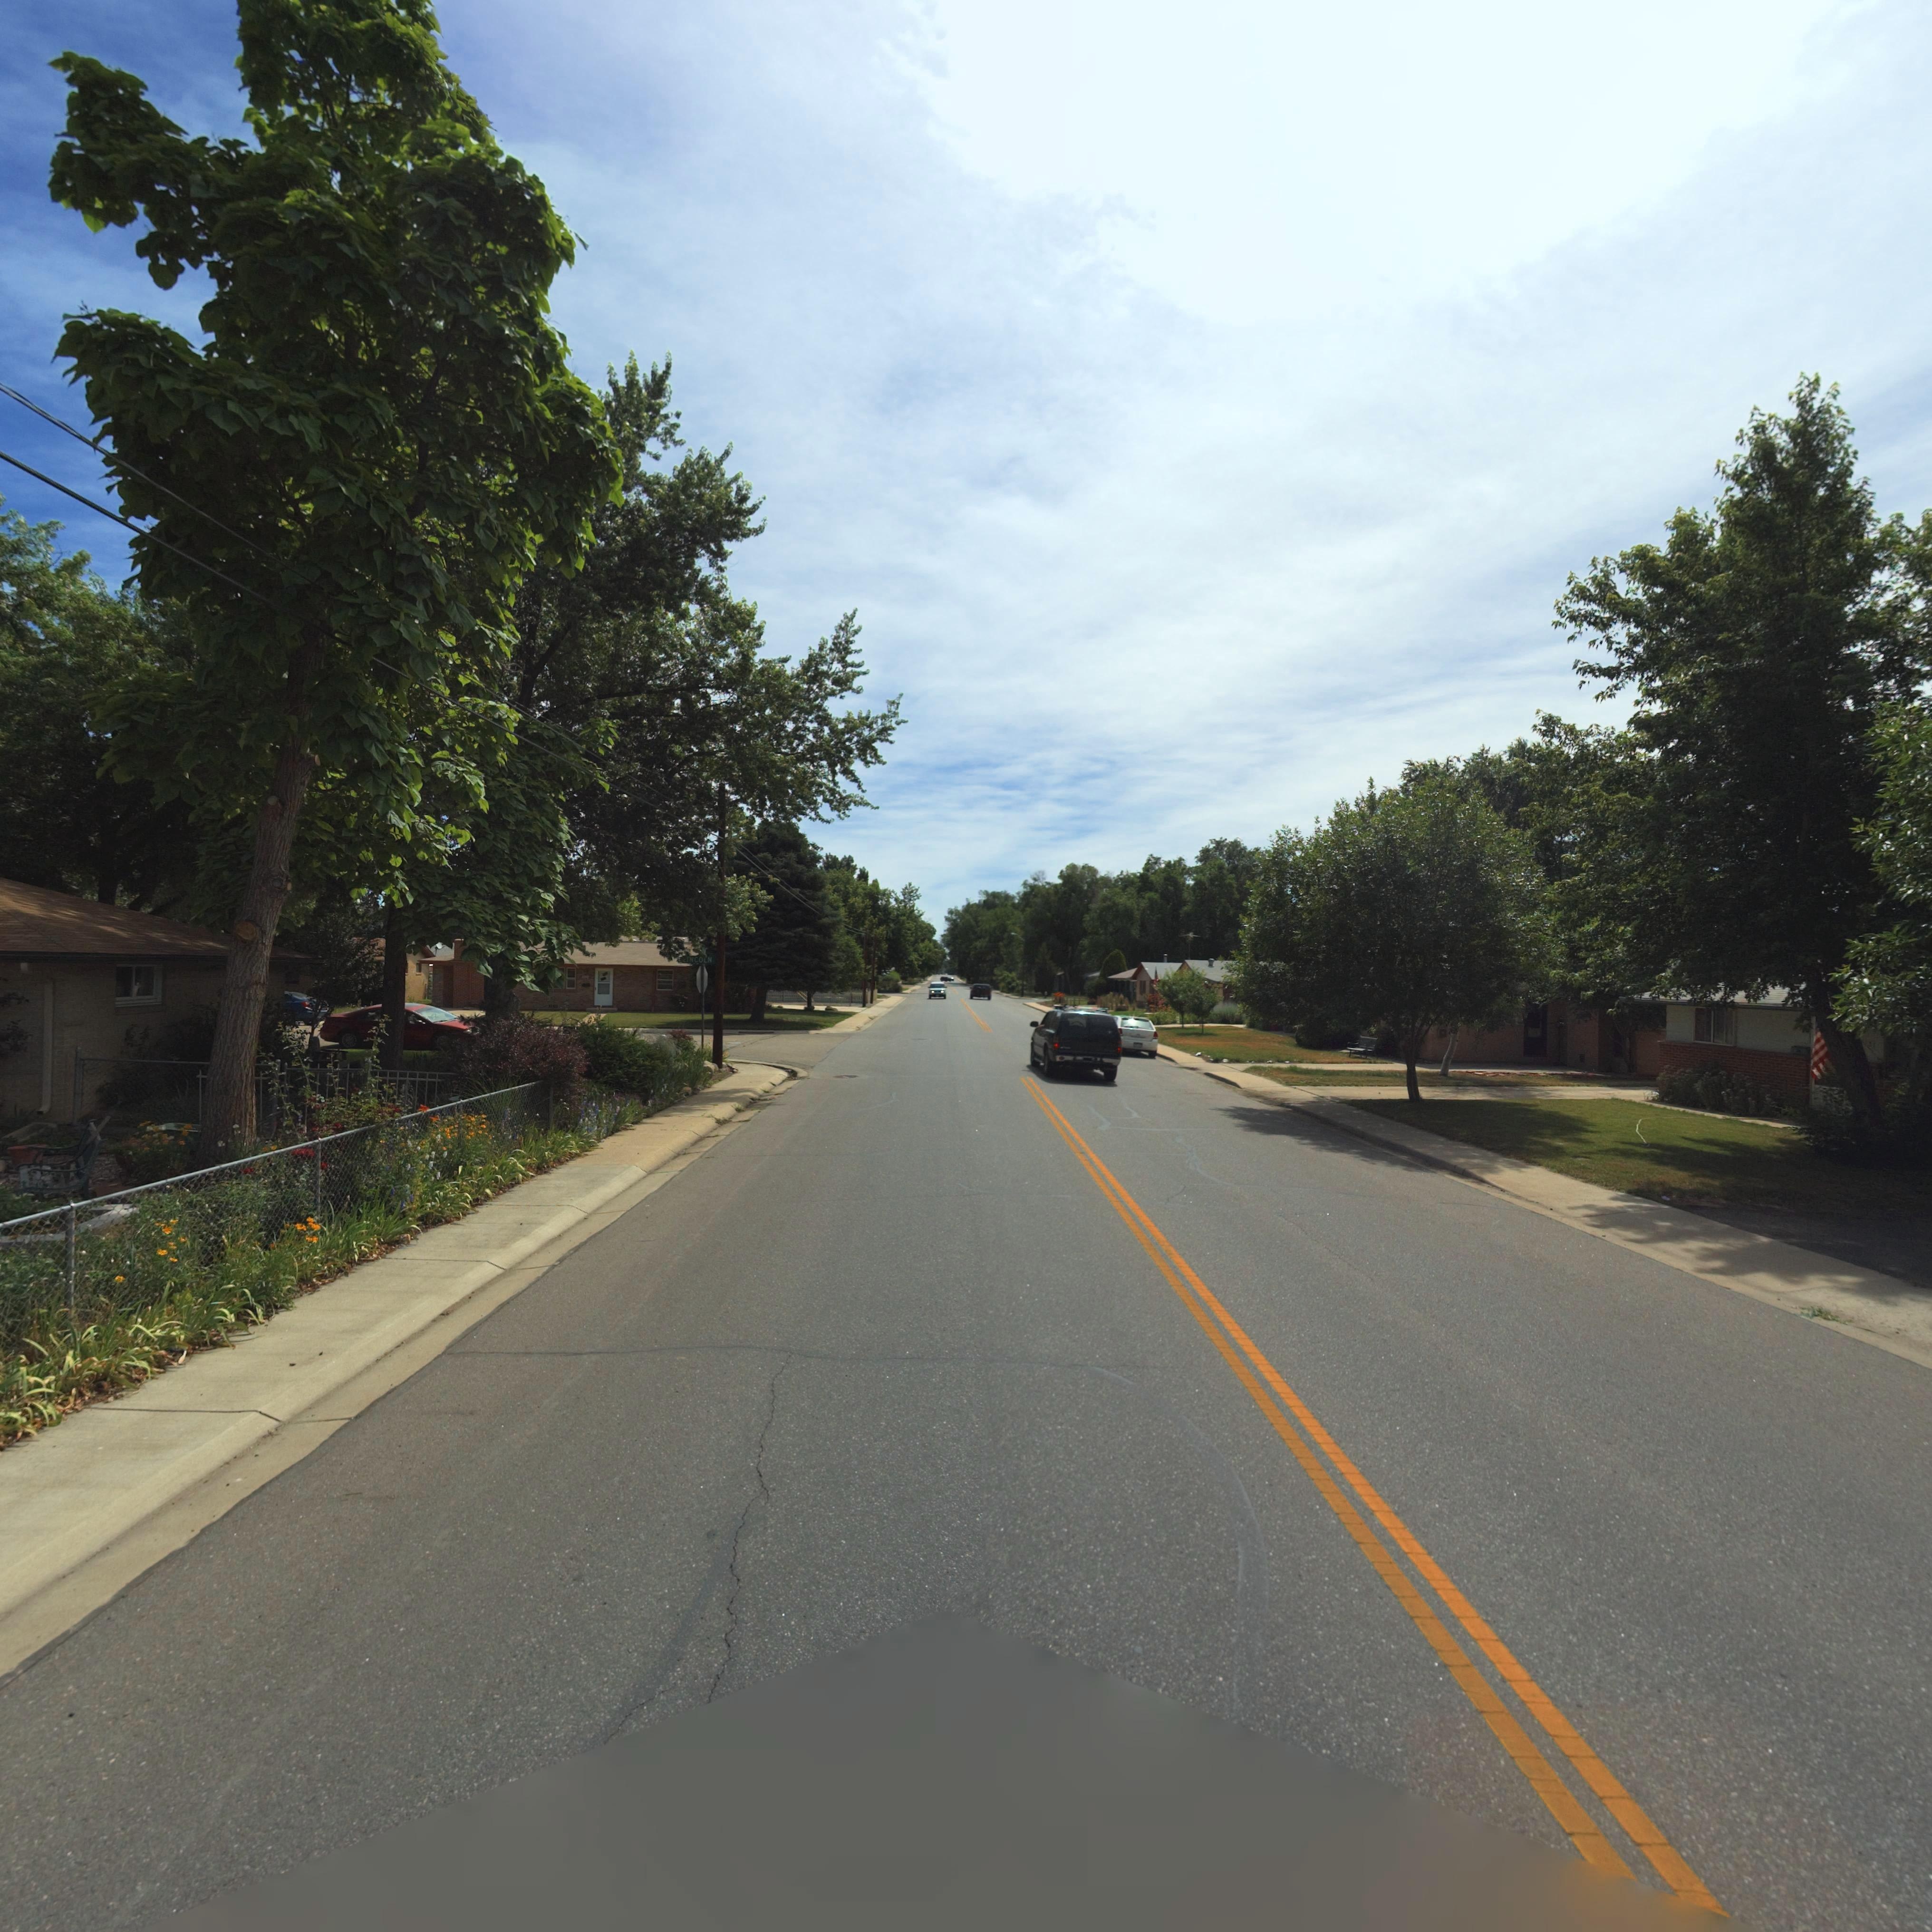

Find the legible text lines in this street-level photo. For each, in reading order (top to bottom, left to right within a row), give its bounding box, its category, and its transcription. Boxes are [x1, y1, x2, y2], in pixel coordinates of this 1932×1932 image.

[683, 956, 712, 962] StreetName: *INCOLN
[581, 975, 589, 978] StreetNumber: ***2
[1862, 1037, 1876, 1050] StreetNumber: **31